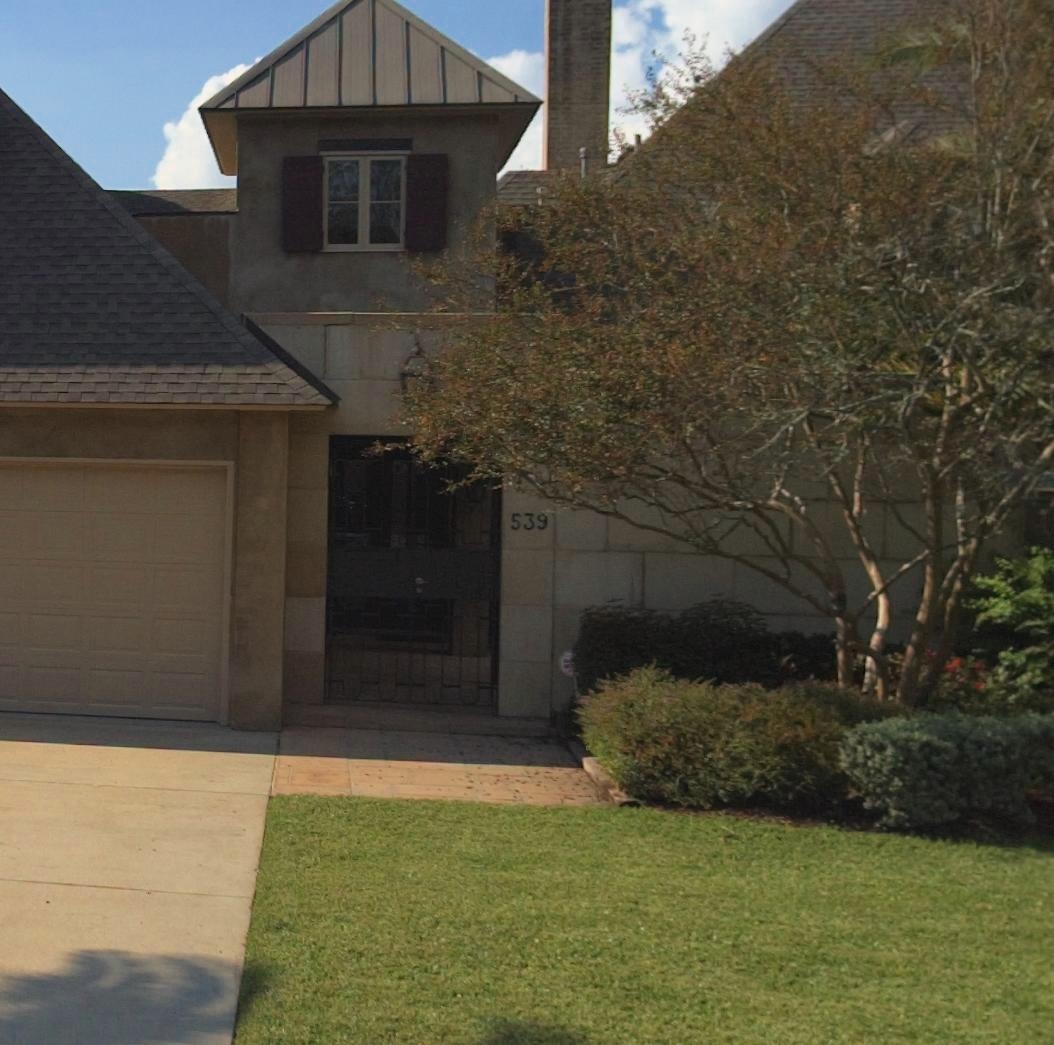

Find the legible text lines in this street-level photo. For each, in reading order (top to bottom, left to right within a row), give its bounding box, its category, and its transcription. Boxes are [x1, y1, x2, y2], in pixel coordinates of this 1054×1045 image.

[510, 512, 548, 531] StreetNumber: 539